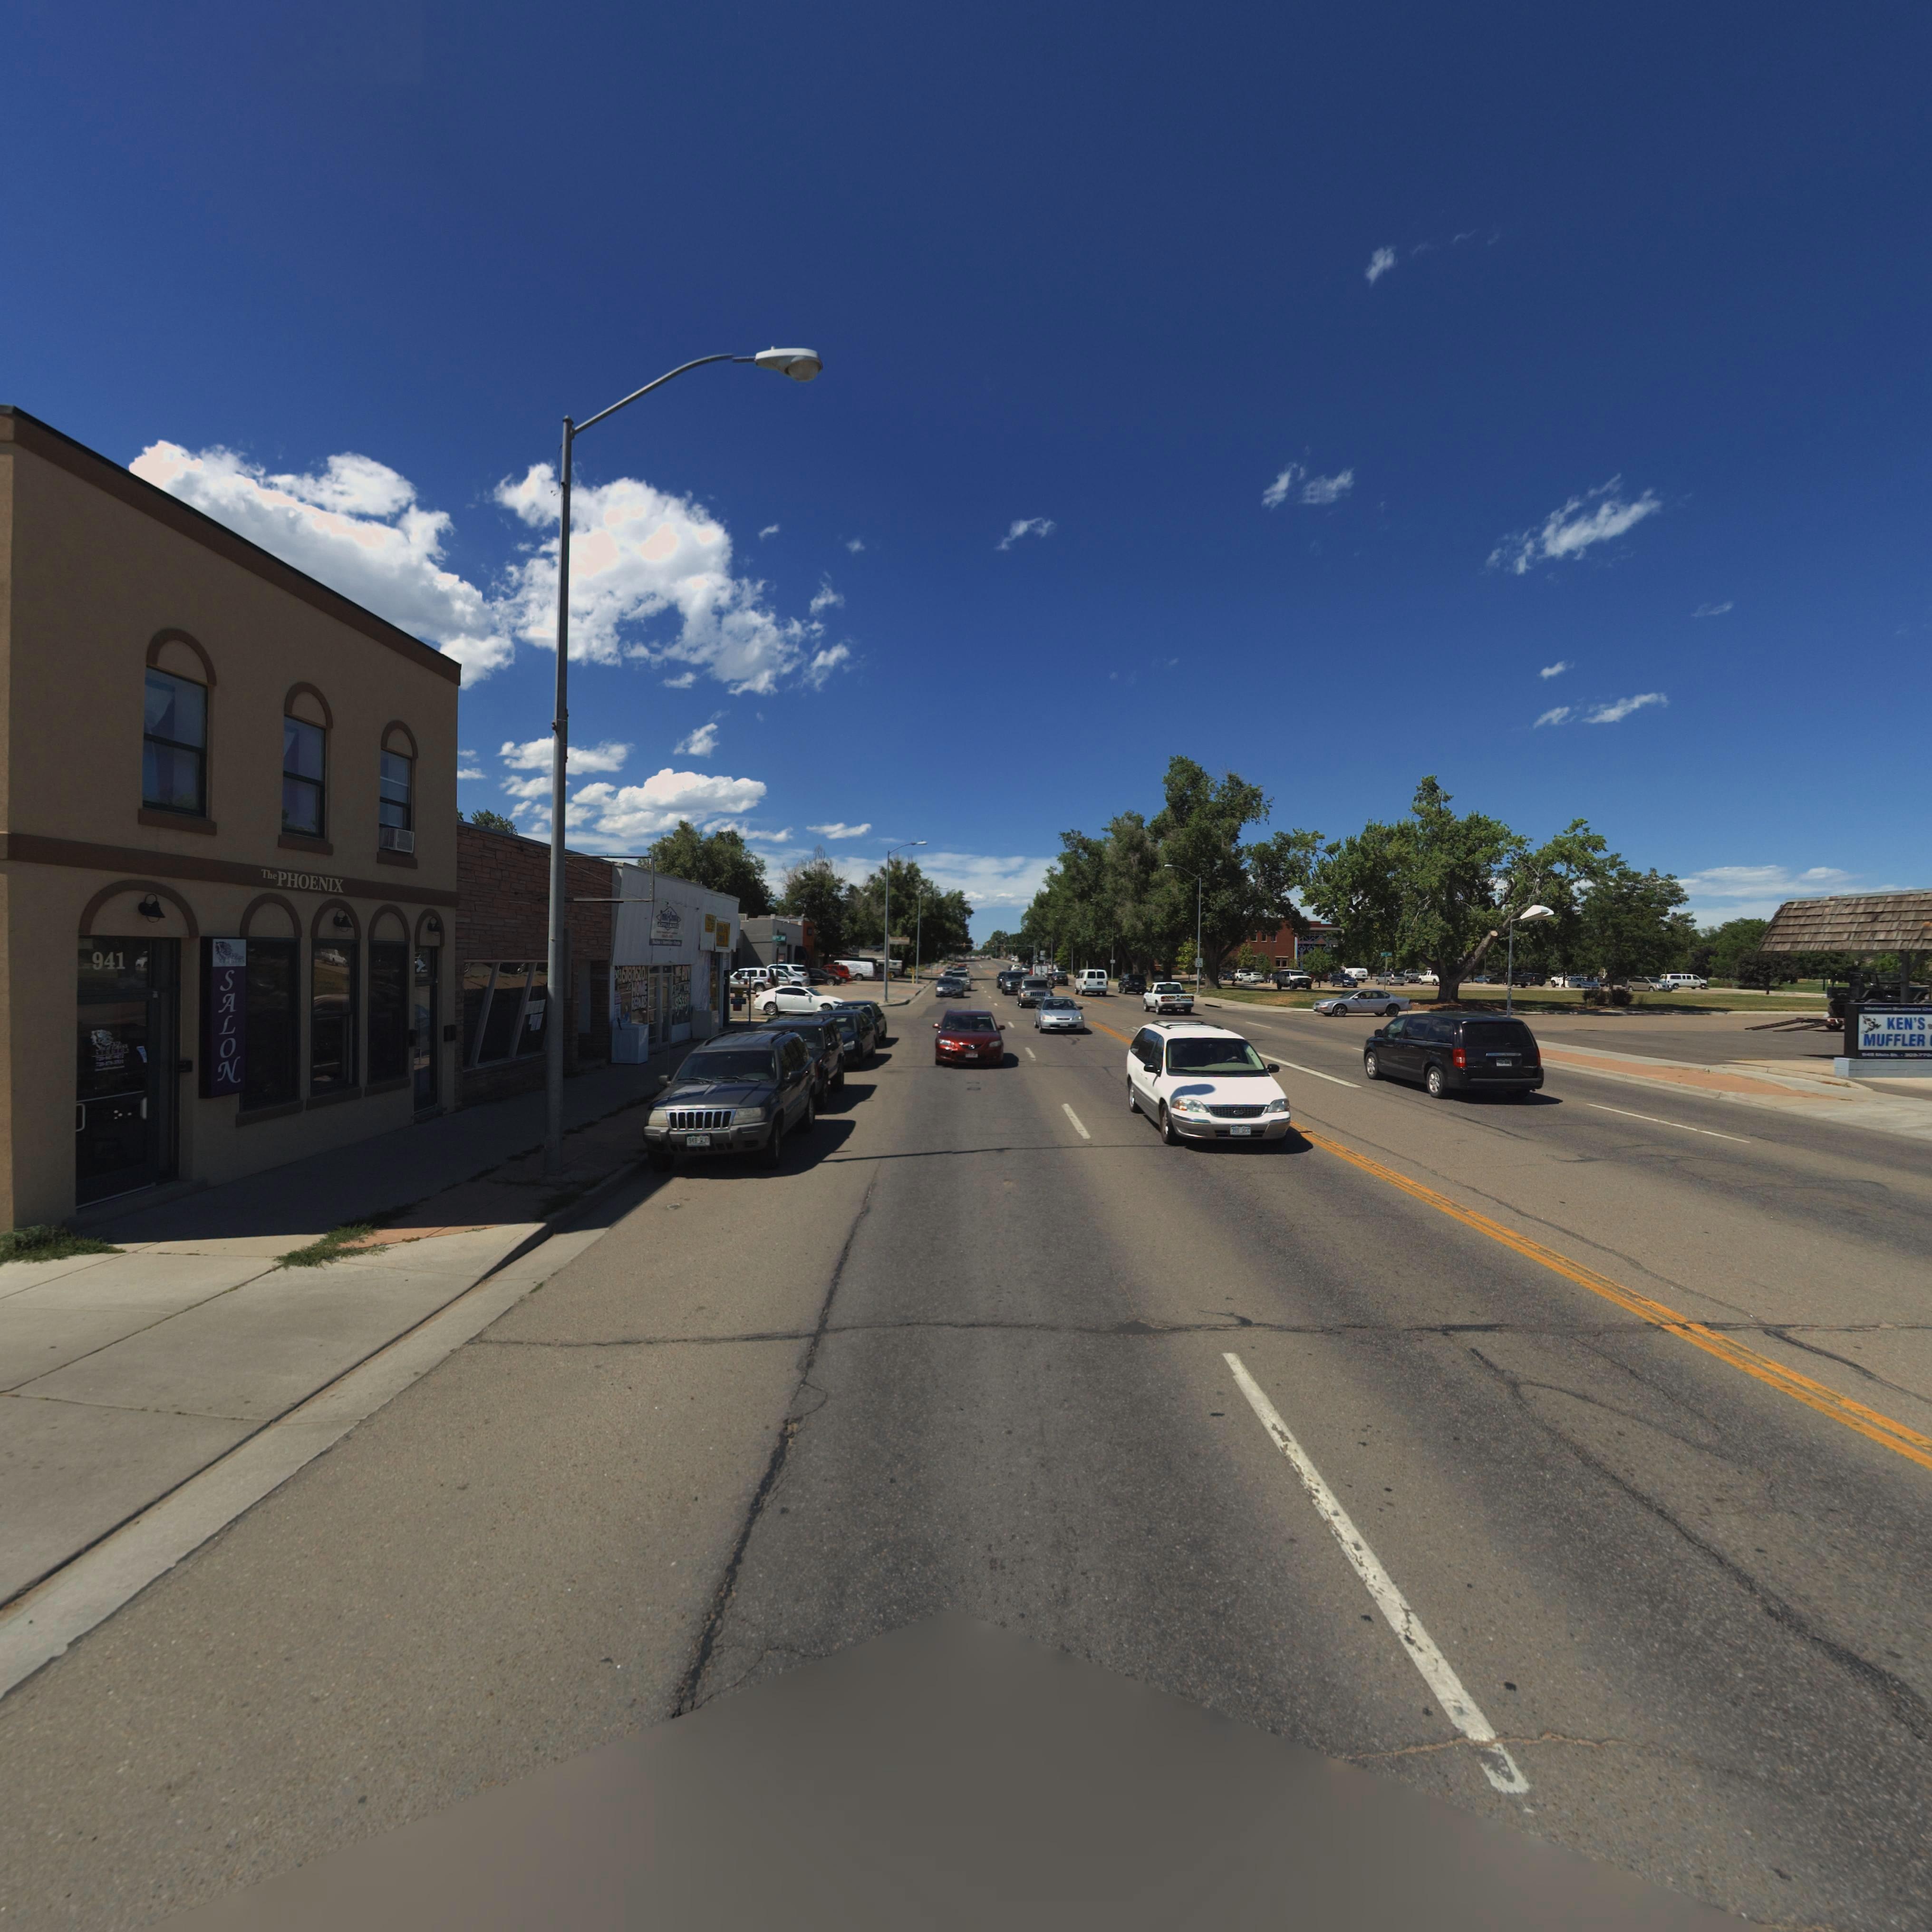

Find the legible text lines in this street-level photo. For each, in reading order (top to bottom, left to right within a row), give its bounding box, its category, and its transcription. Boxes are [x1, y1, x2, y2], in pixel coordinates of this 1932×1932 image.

[261, 869, 344, 893] BusinessName: ThePHOENIX
[659, 909, 679, 924] BusinessName: T*** * C******
[657, 922, 679, 928] BusinessName: APPLI**C*
[92, 951, 126, 970] StreetNumber: 941
[218, 951, 224, 960] BusinessName: S
[1381, 952, 1392, 956] StreetName: *0** AV
[1887, 1017, 1925, 1030] BusinessName: KEN'S
[95, 1041, 128, 1051] BusinessName: S**** Bliss
[96, 1047, 129, 1055] BusinessName: STUDIOS
[1864, 1034, 1925, 1046] BusinessName: MUFFLER